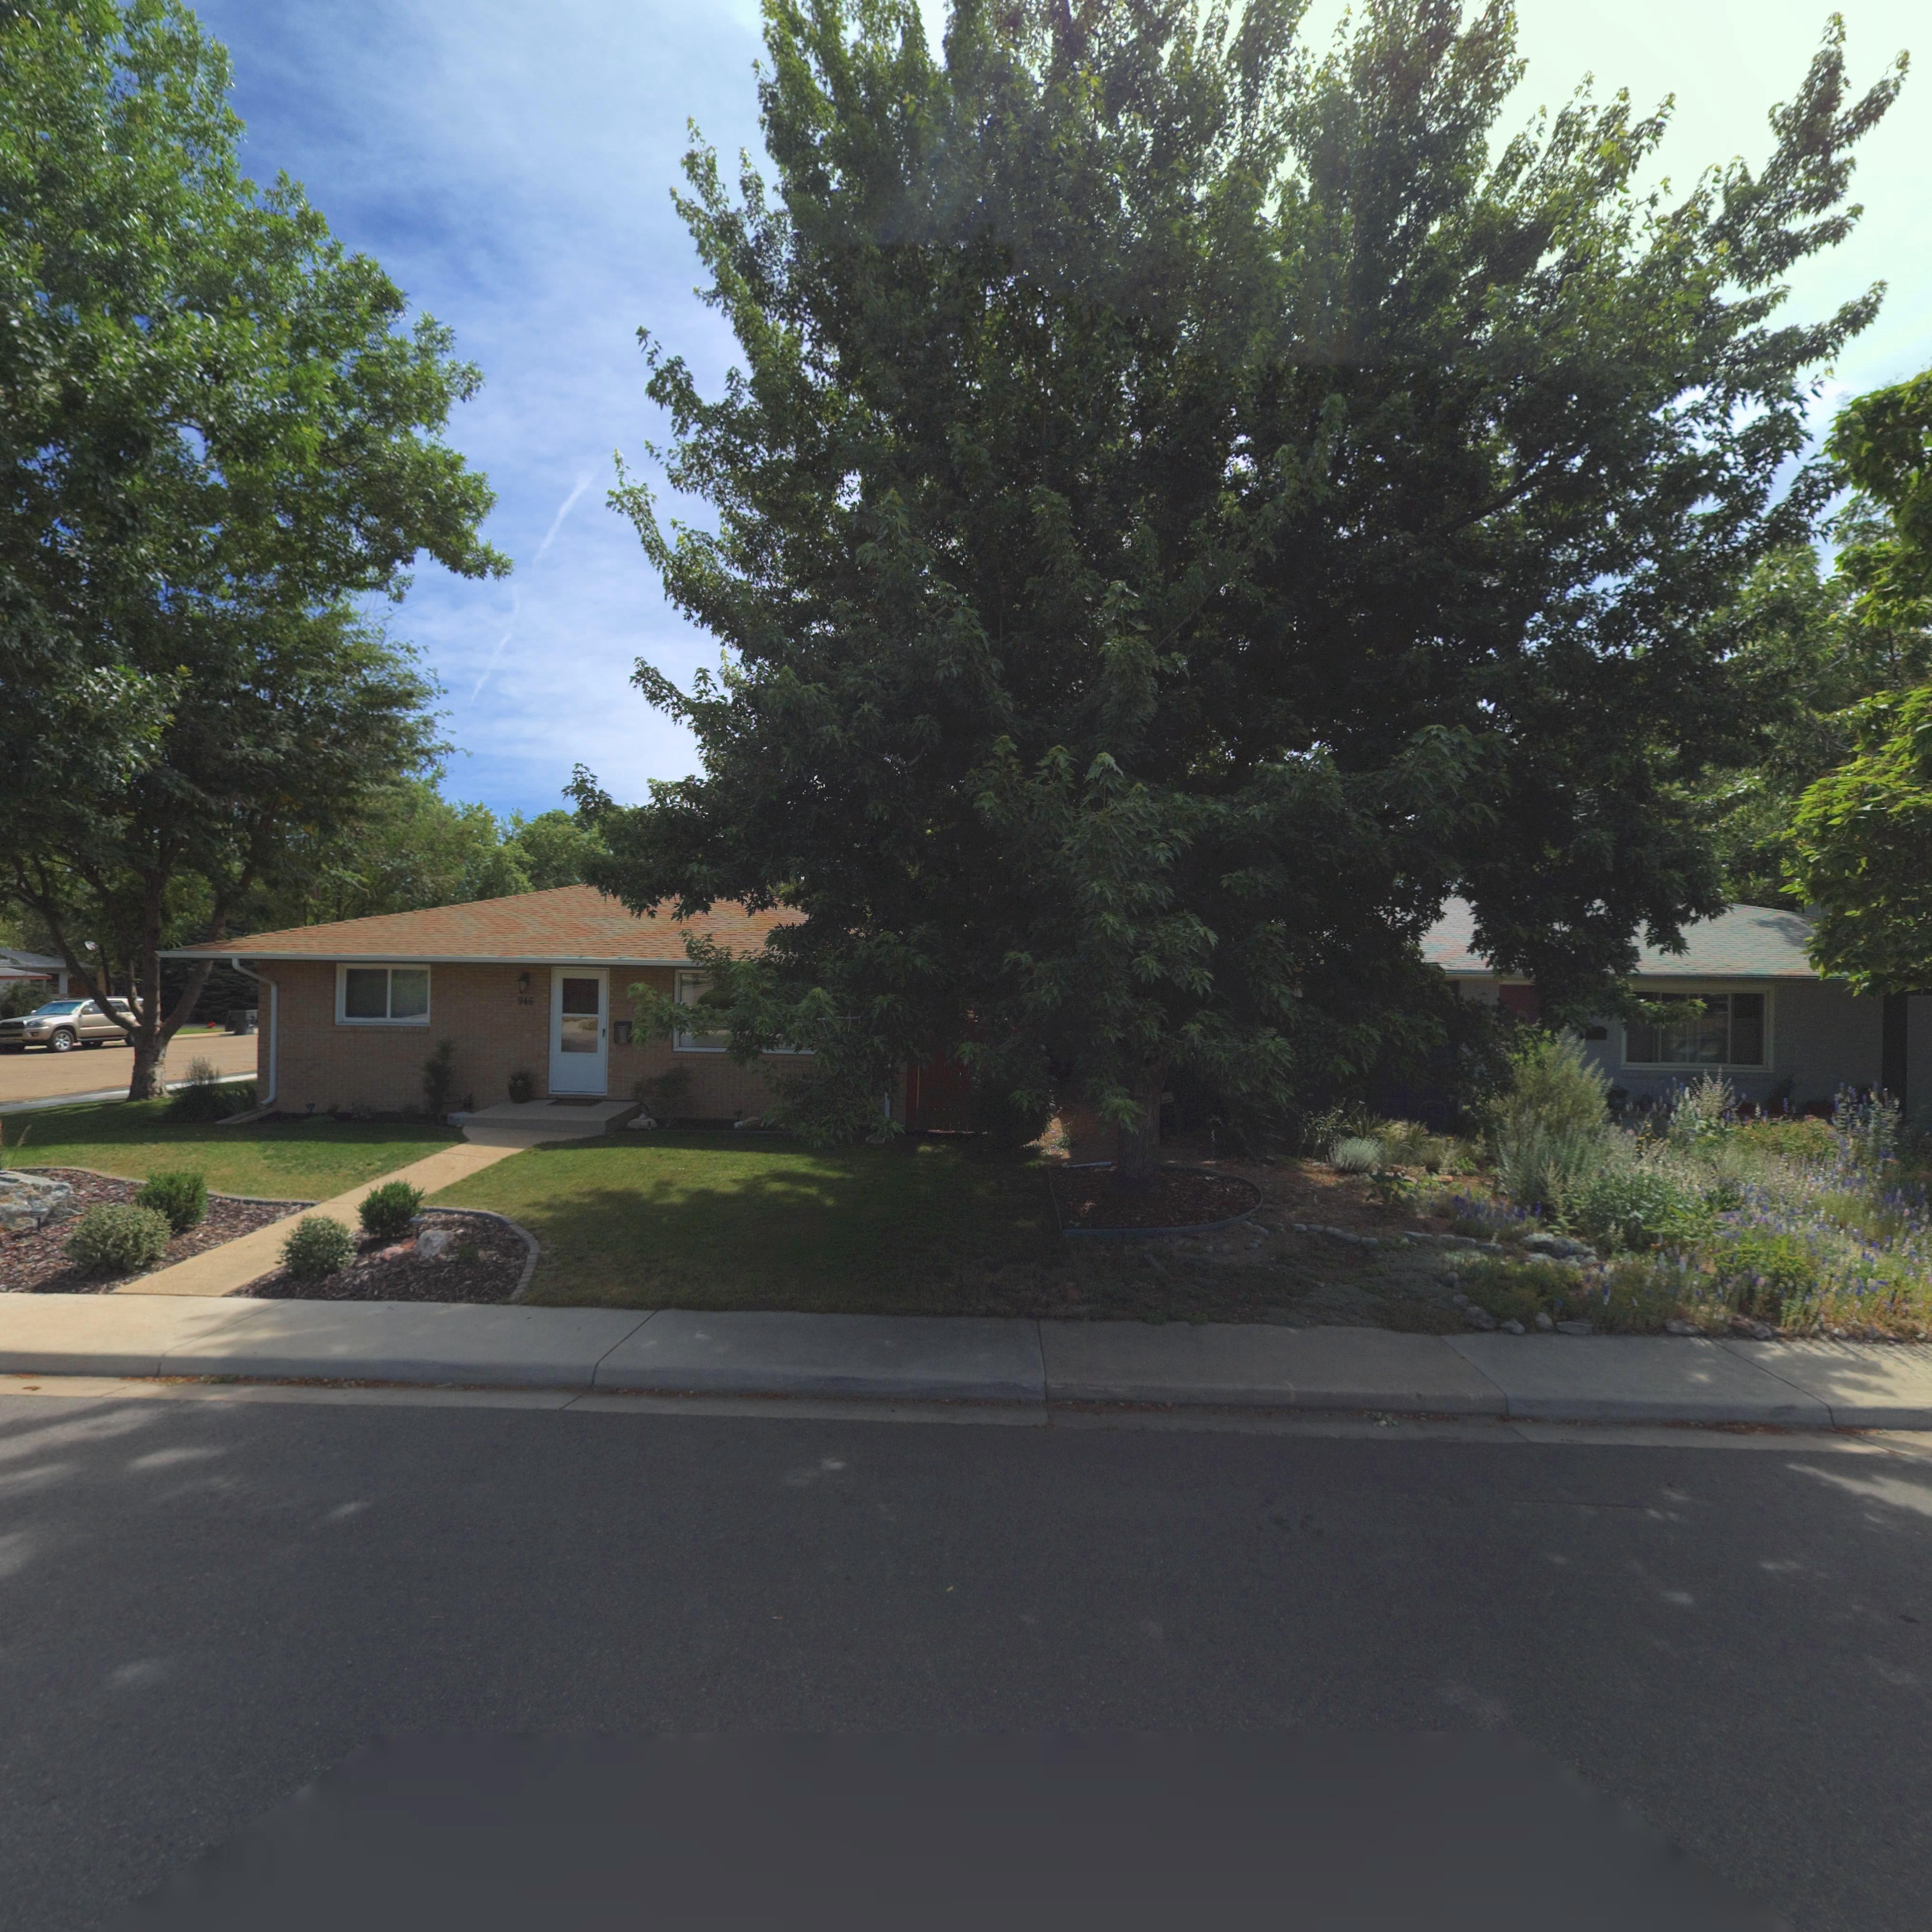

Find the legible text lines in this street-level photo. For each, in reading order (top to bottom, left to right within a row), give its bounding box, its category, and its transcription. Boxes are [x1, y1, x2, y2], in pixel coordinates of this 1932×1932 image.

[517, 996, 533, 1005] StreetNumber: 946